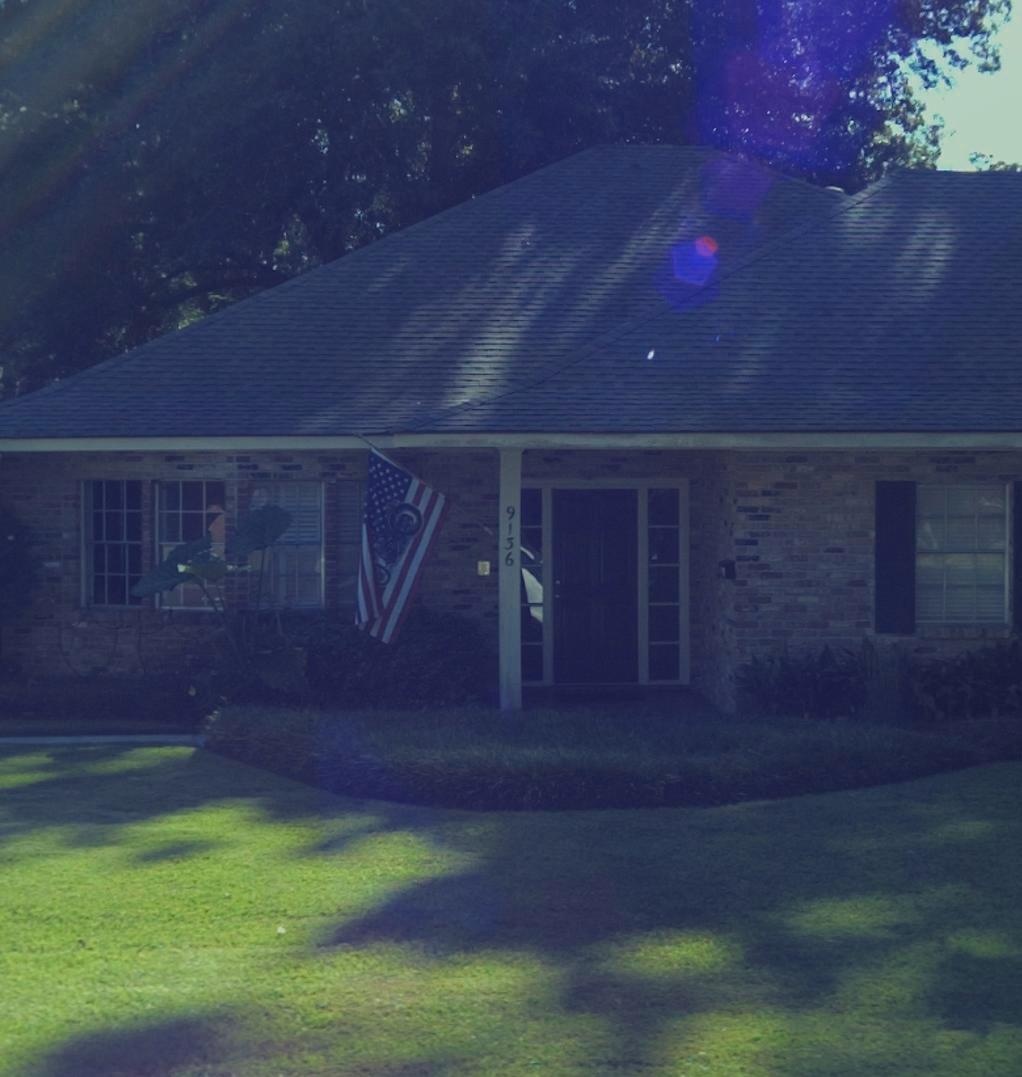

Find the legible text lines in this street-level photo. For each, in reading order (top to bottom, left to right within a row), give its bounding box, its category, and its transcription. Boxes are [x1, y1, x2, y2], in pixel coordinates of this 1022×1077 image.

[503, 504, 517, 568] StreetNumber: 9136